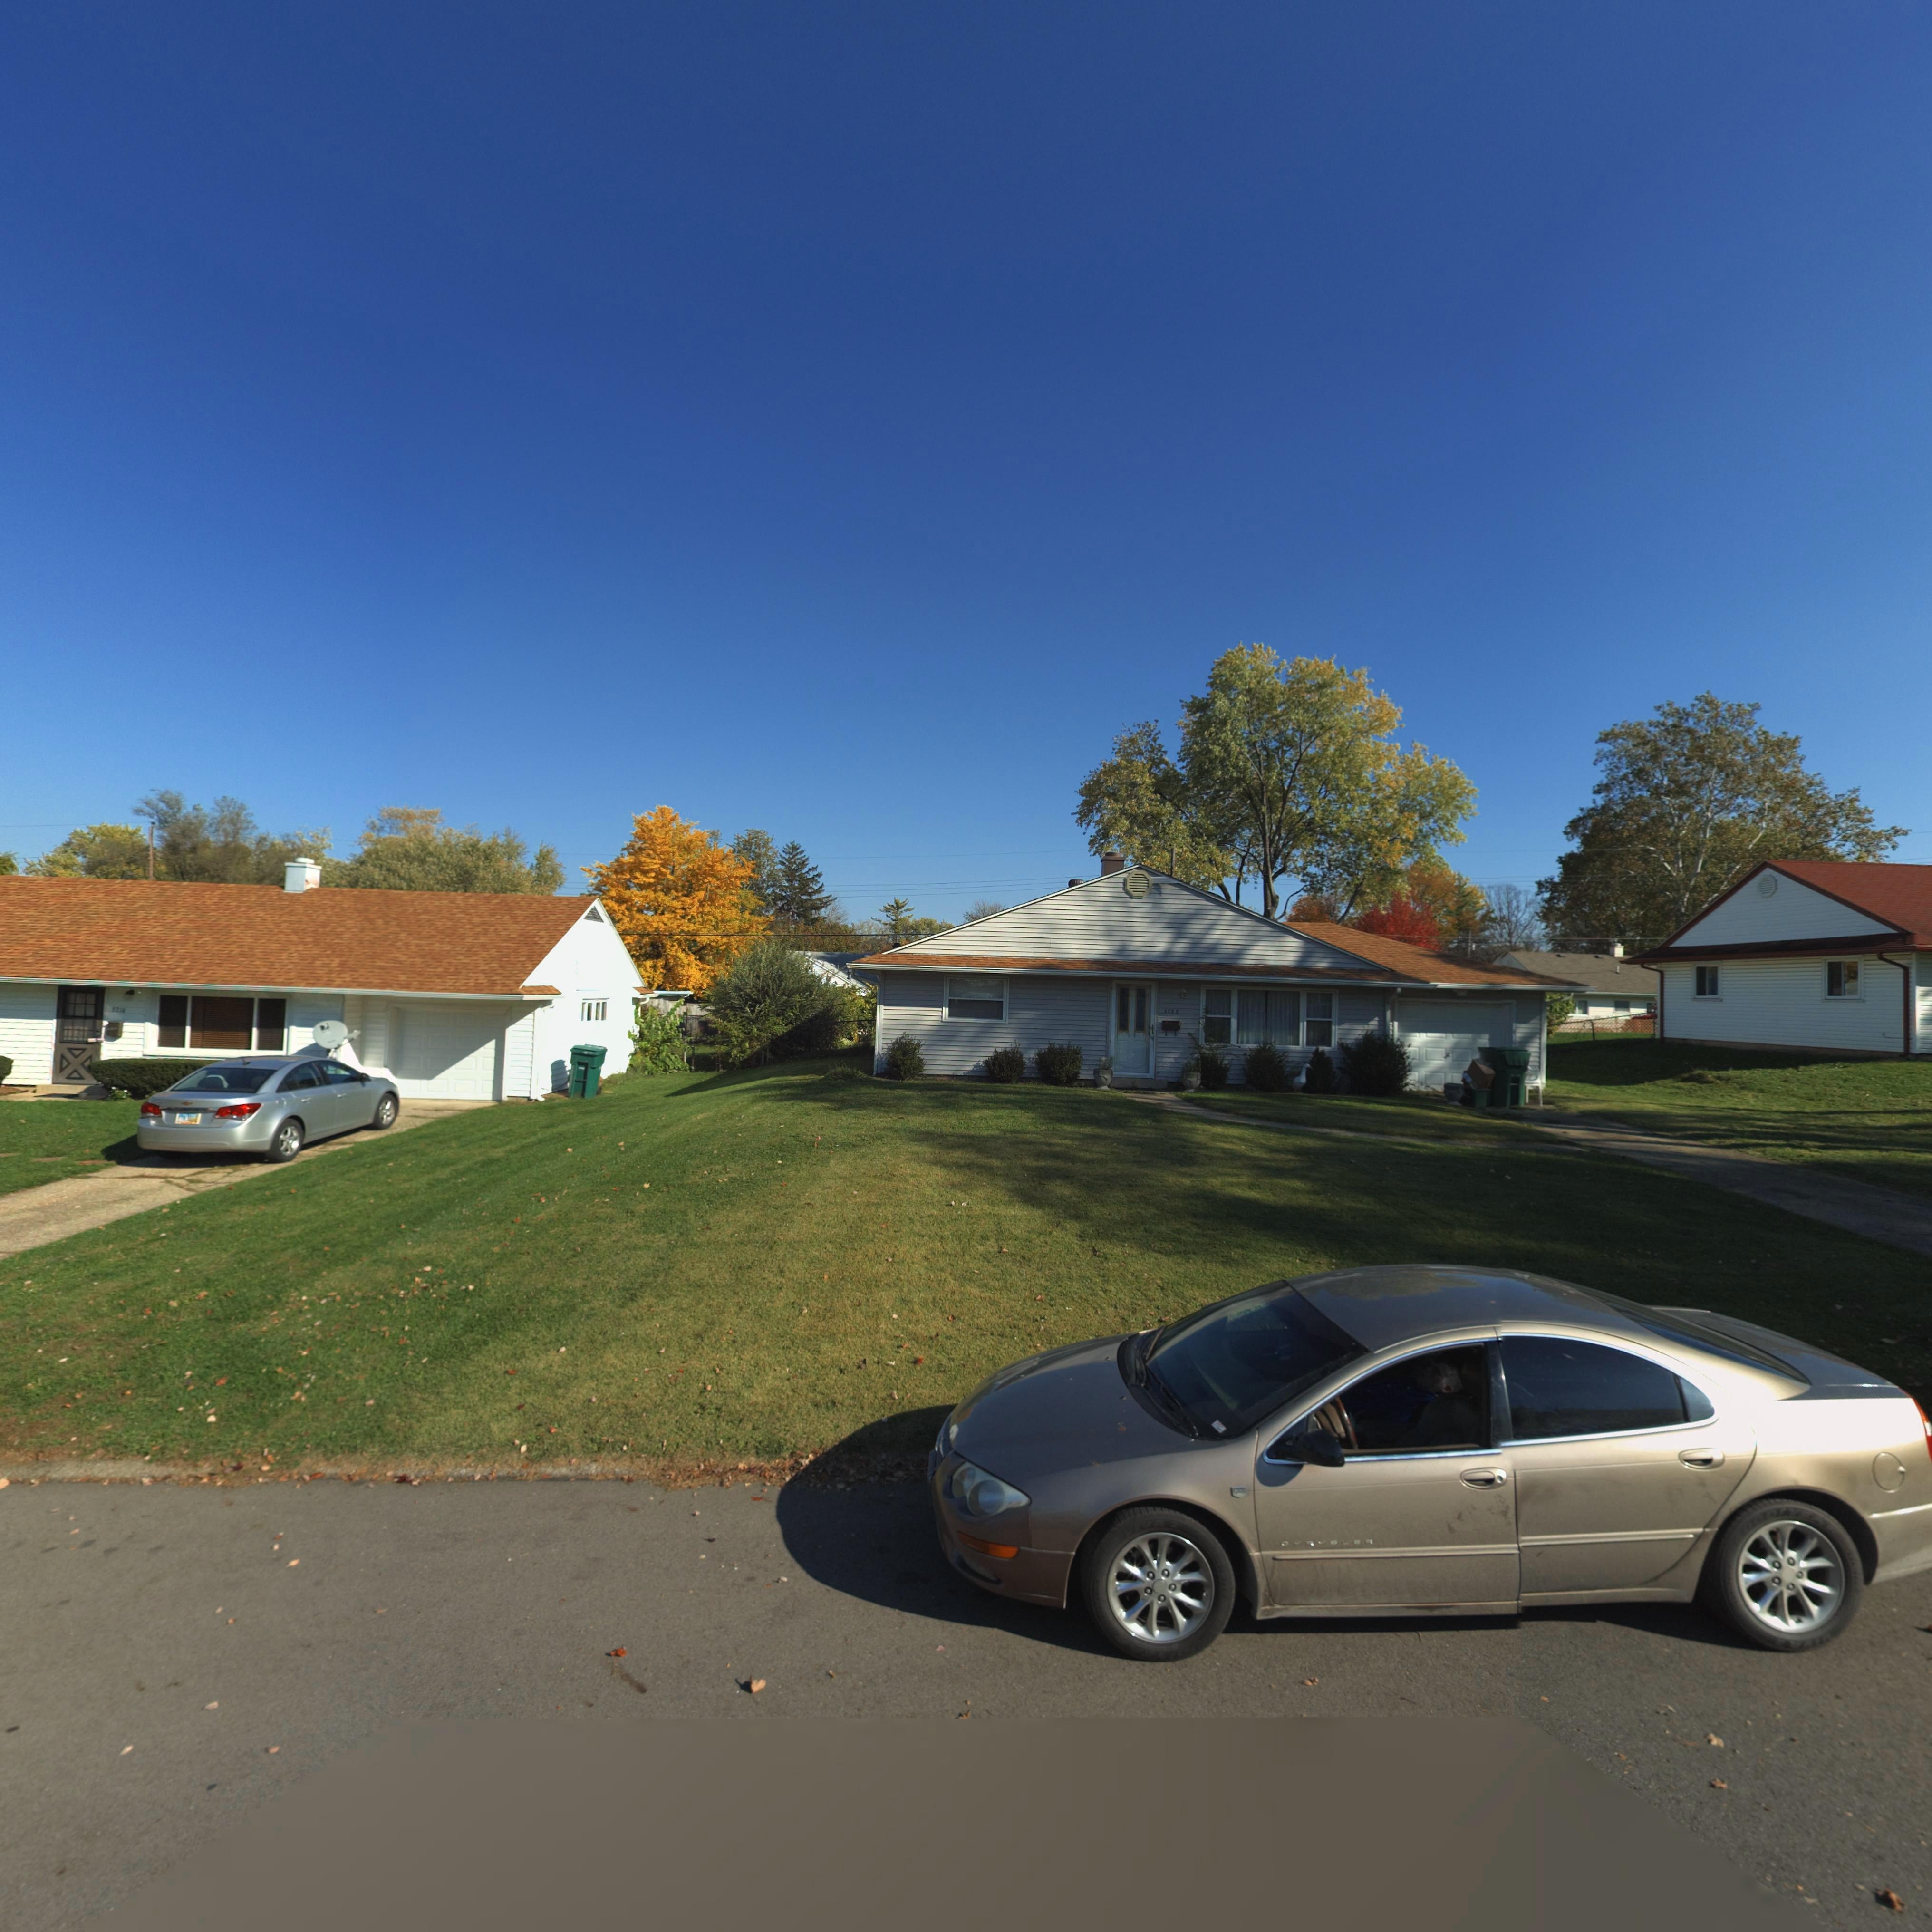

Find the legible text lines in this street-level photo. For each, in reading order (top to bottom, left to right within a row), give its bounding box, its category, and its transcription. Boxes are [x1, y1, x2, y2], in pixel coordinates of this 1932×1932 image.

[111, 1006, 126, 1014] StreetNumber: 3716
[1164, 1008, 1178, 1014] StreetNumber: 3722
[1278, 1537, 1375, 1548] None: CHRYSLER